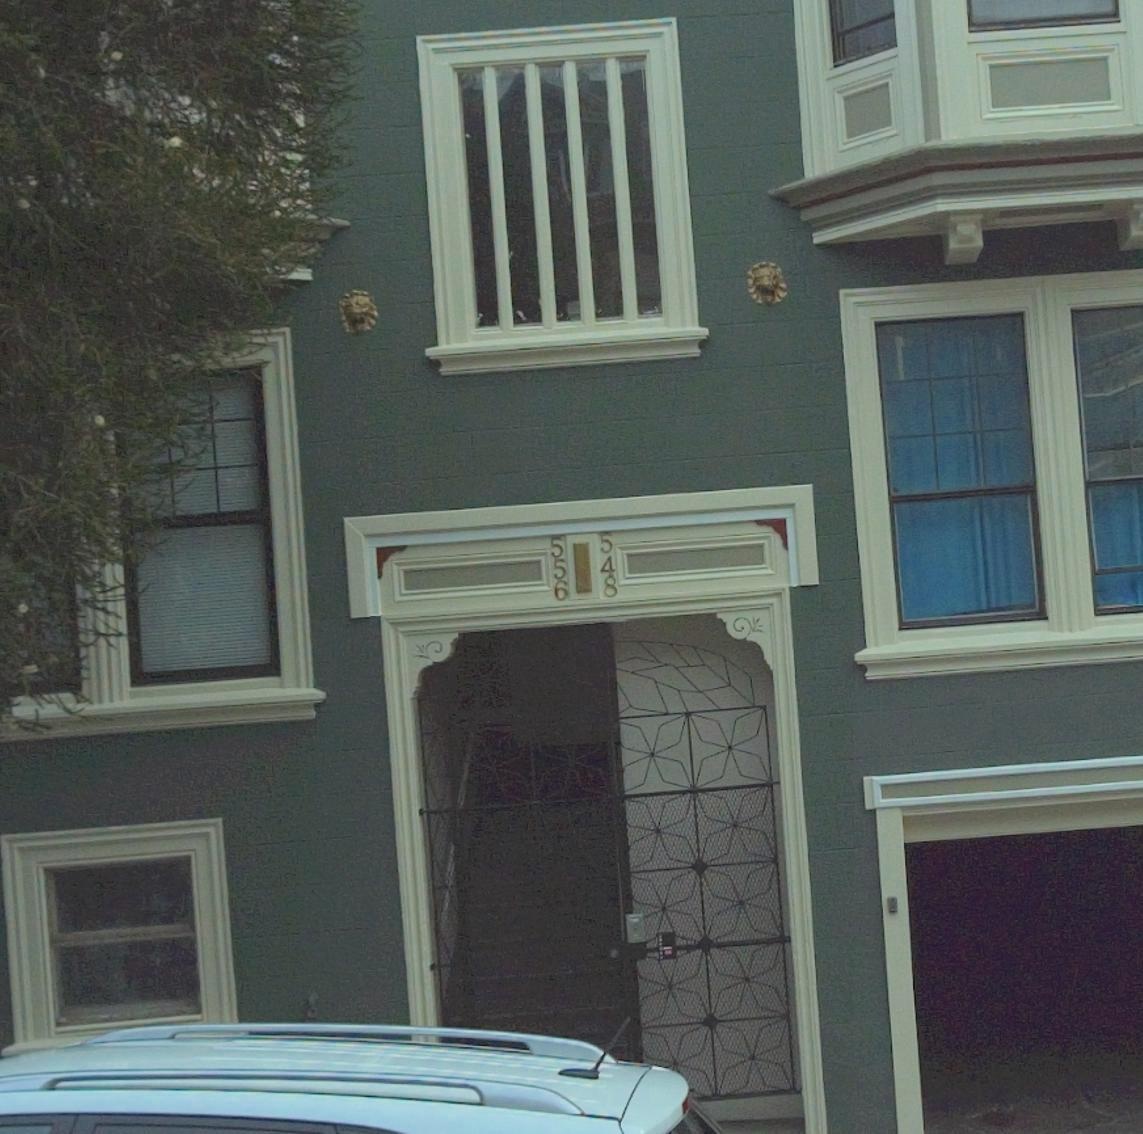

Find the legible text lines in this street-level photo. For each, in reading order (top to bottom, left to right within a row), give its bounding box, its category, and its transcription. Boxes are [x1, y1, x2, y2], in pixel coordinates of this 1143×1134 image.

[548, 534, 572, 602] StreetNumber: 556
[596, 528, 621, 601] StreetNumber: 548